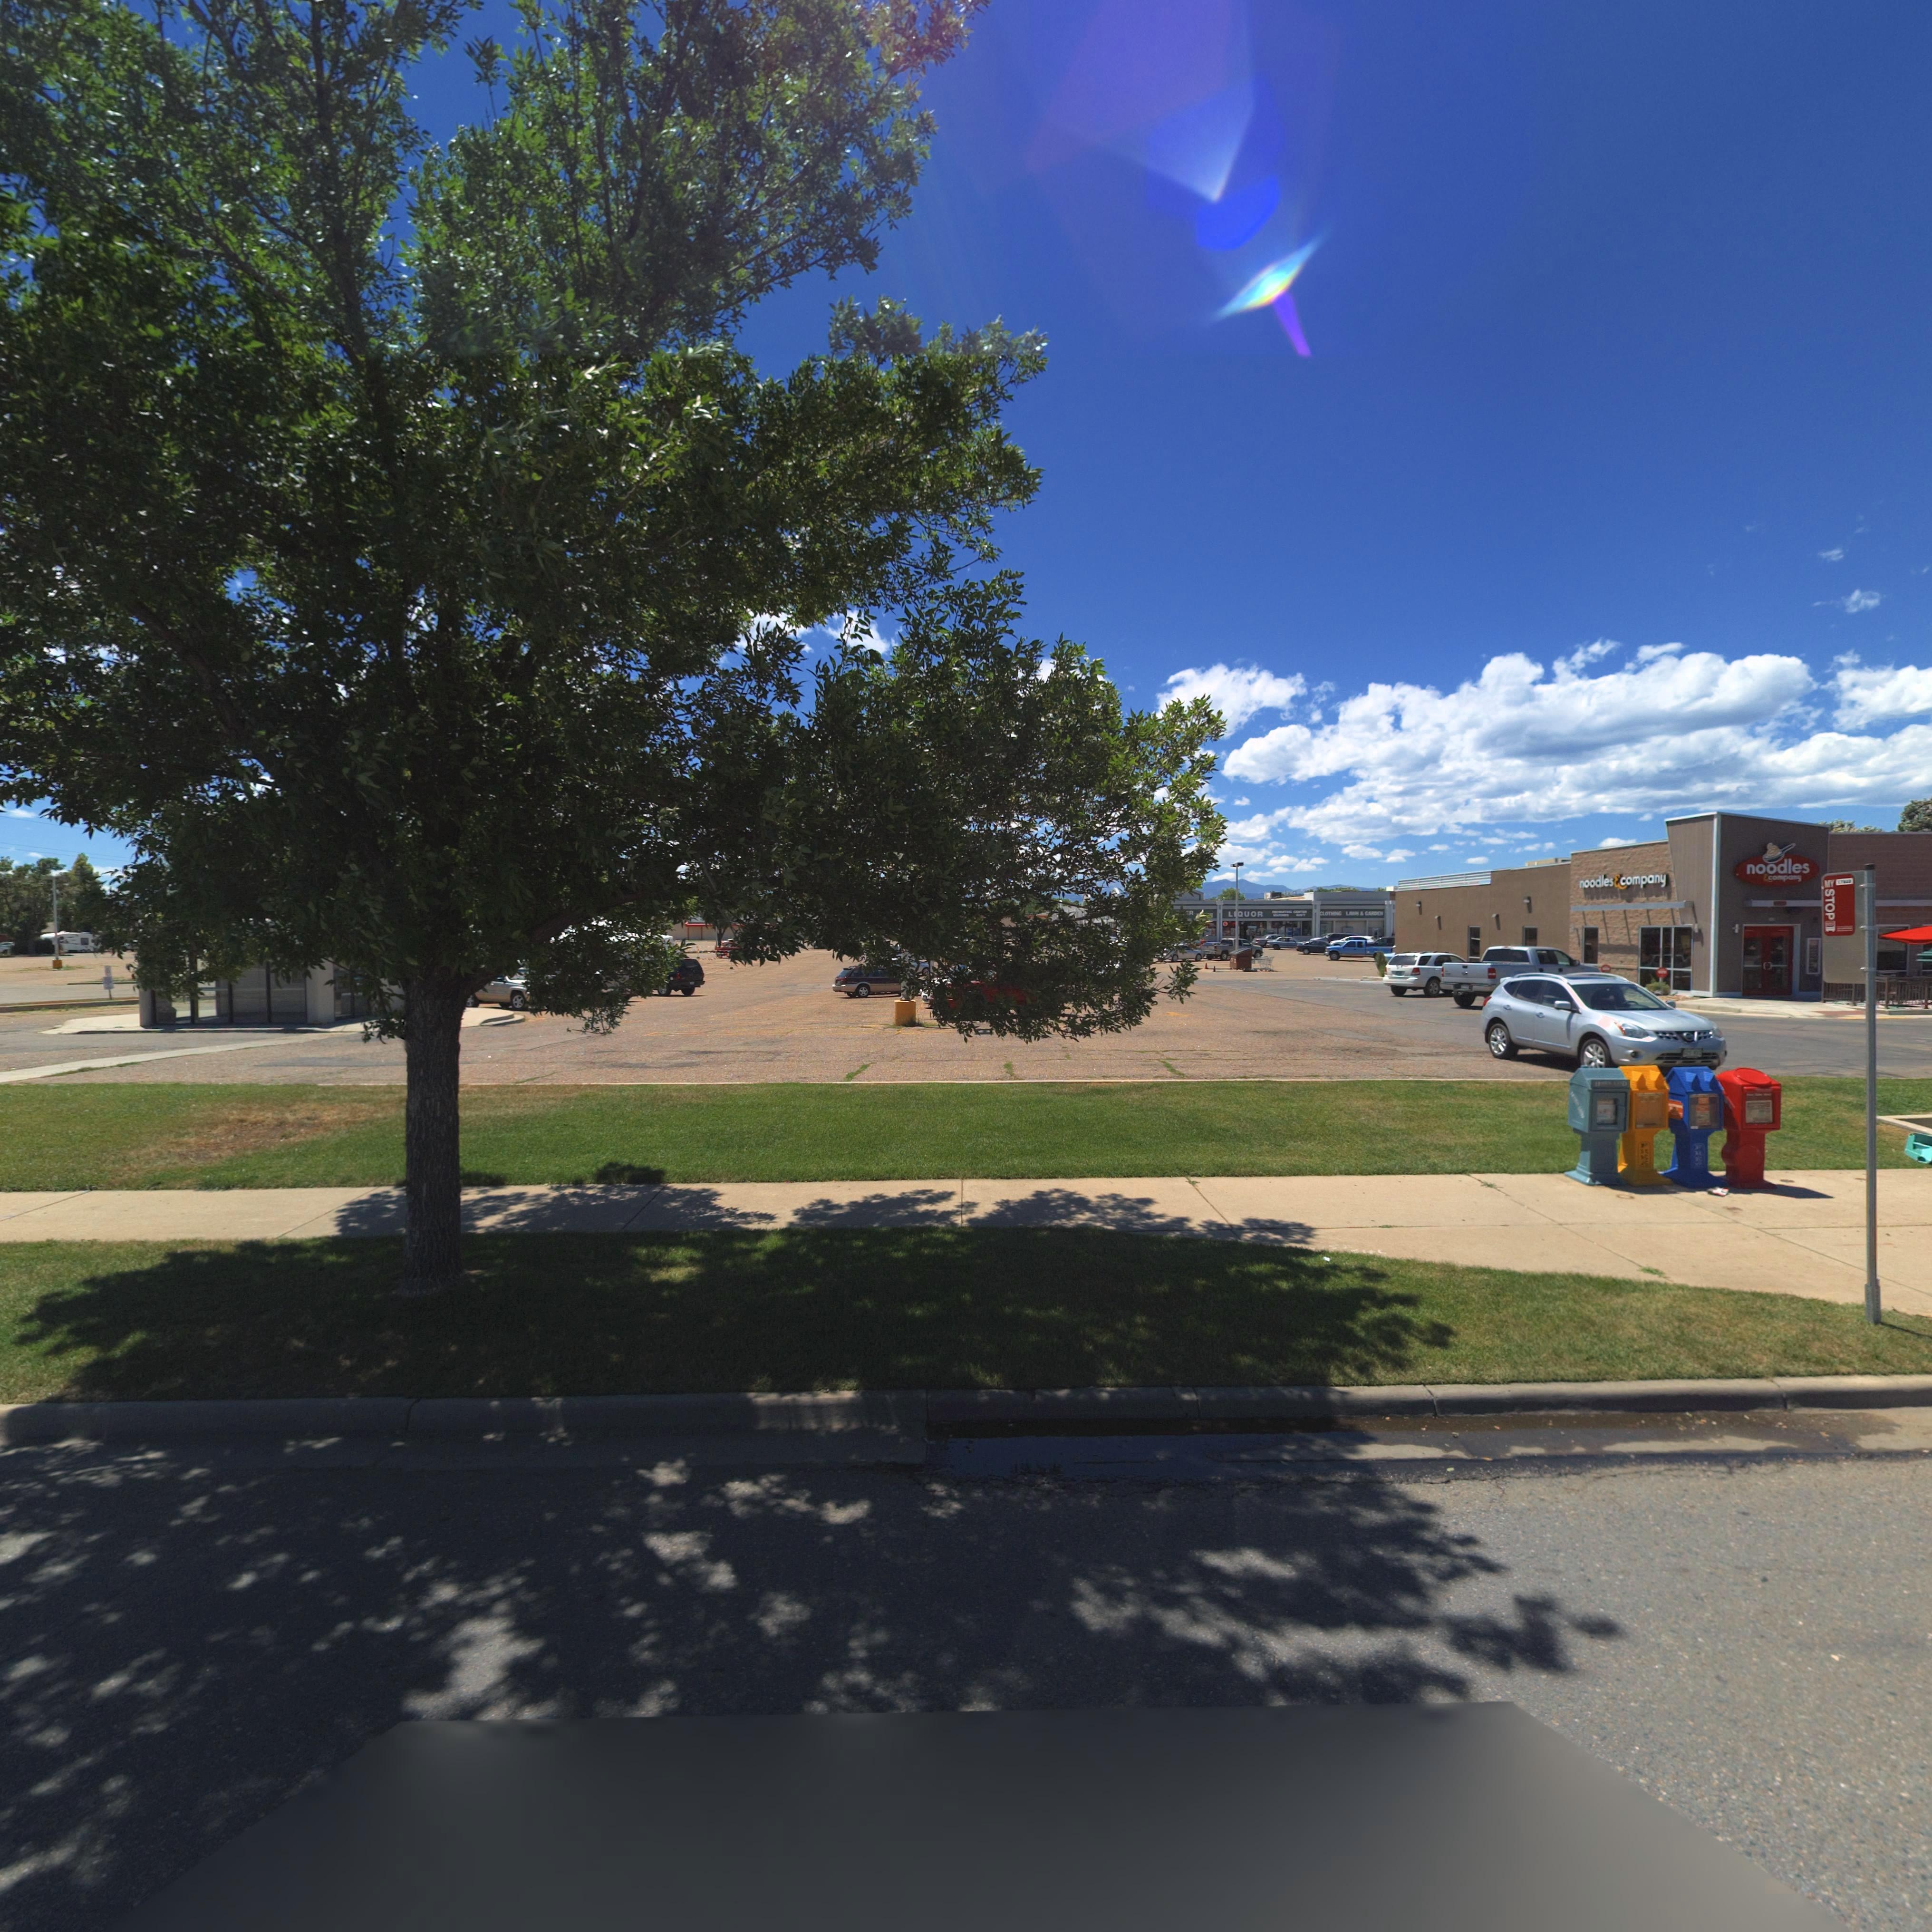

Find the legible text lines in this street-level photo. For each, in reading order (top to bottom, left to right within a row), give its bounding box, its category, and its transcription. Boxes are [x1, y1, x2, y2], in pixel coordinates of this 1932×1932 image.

[1746, 858, 1810, 874] BusinessName: noodles
[1579, 873, 1667, 889] BusinessName: noodles*company
[1768, 875, 1802, 882] BusinessName: co*p**y